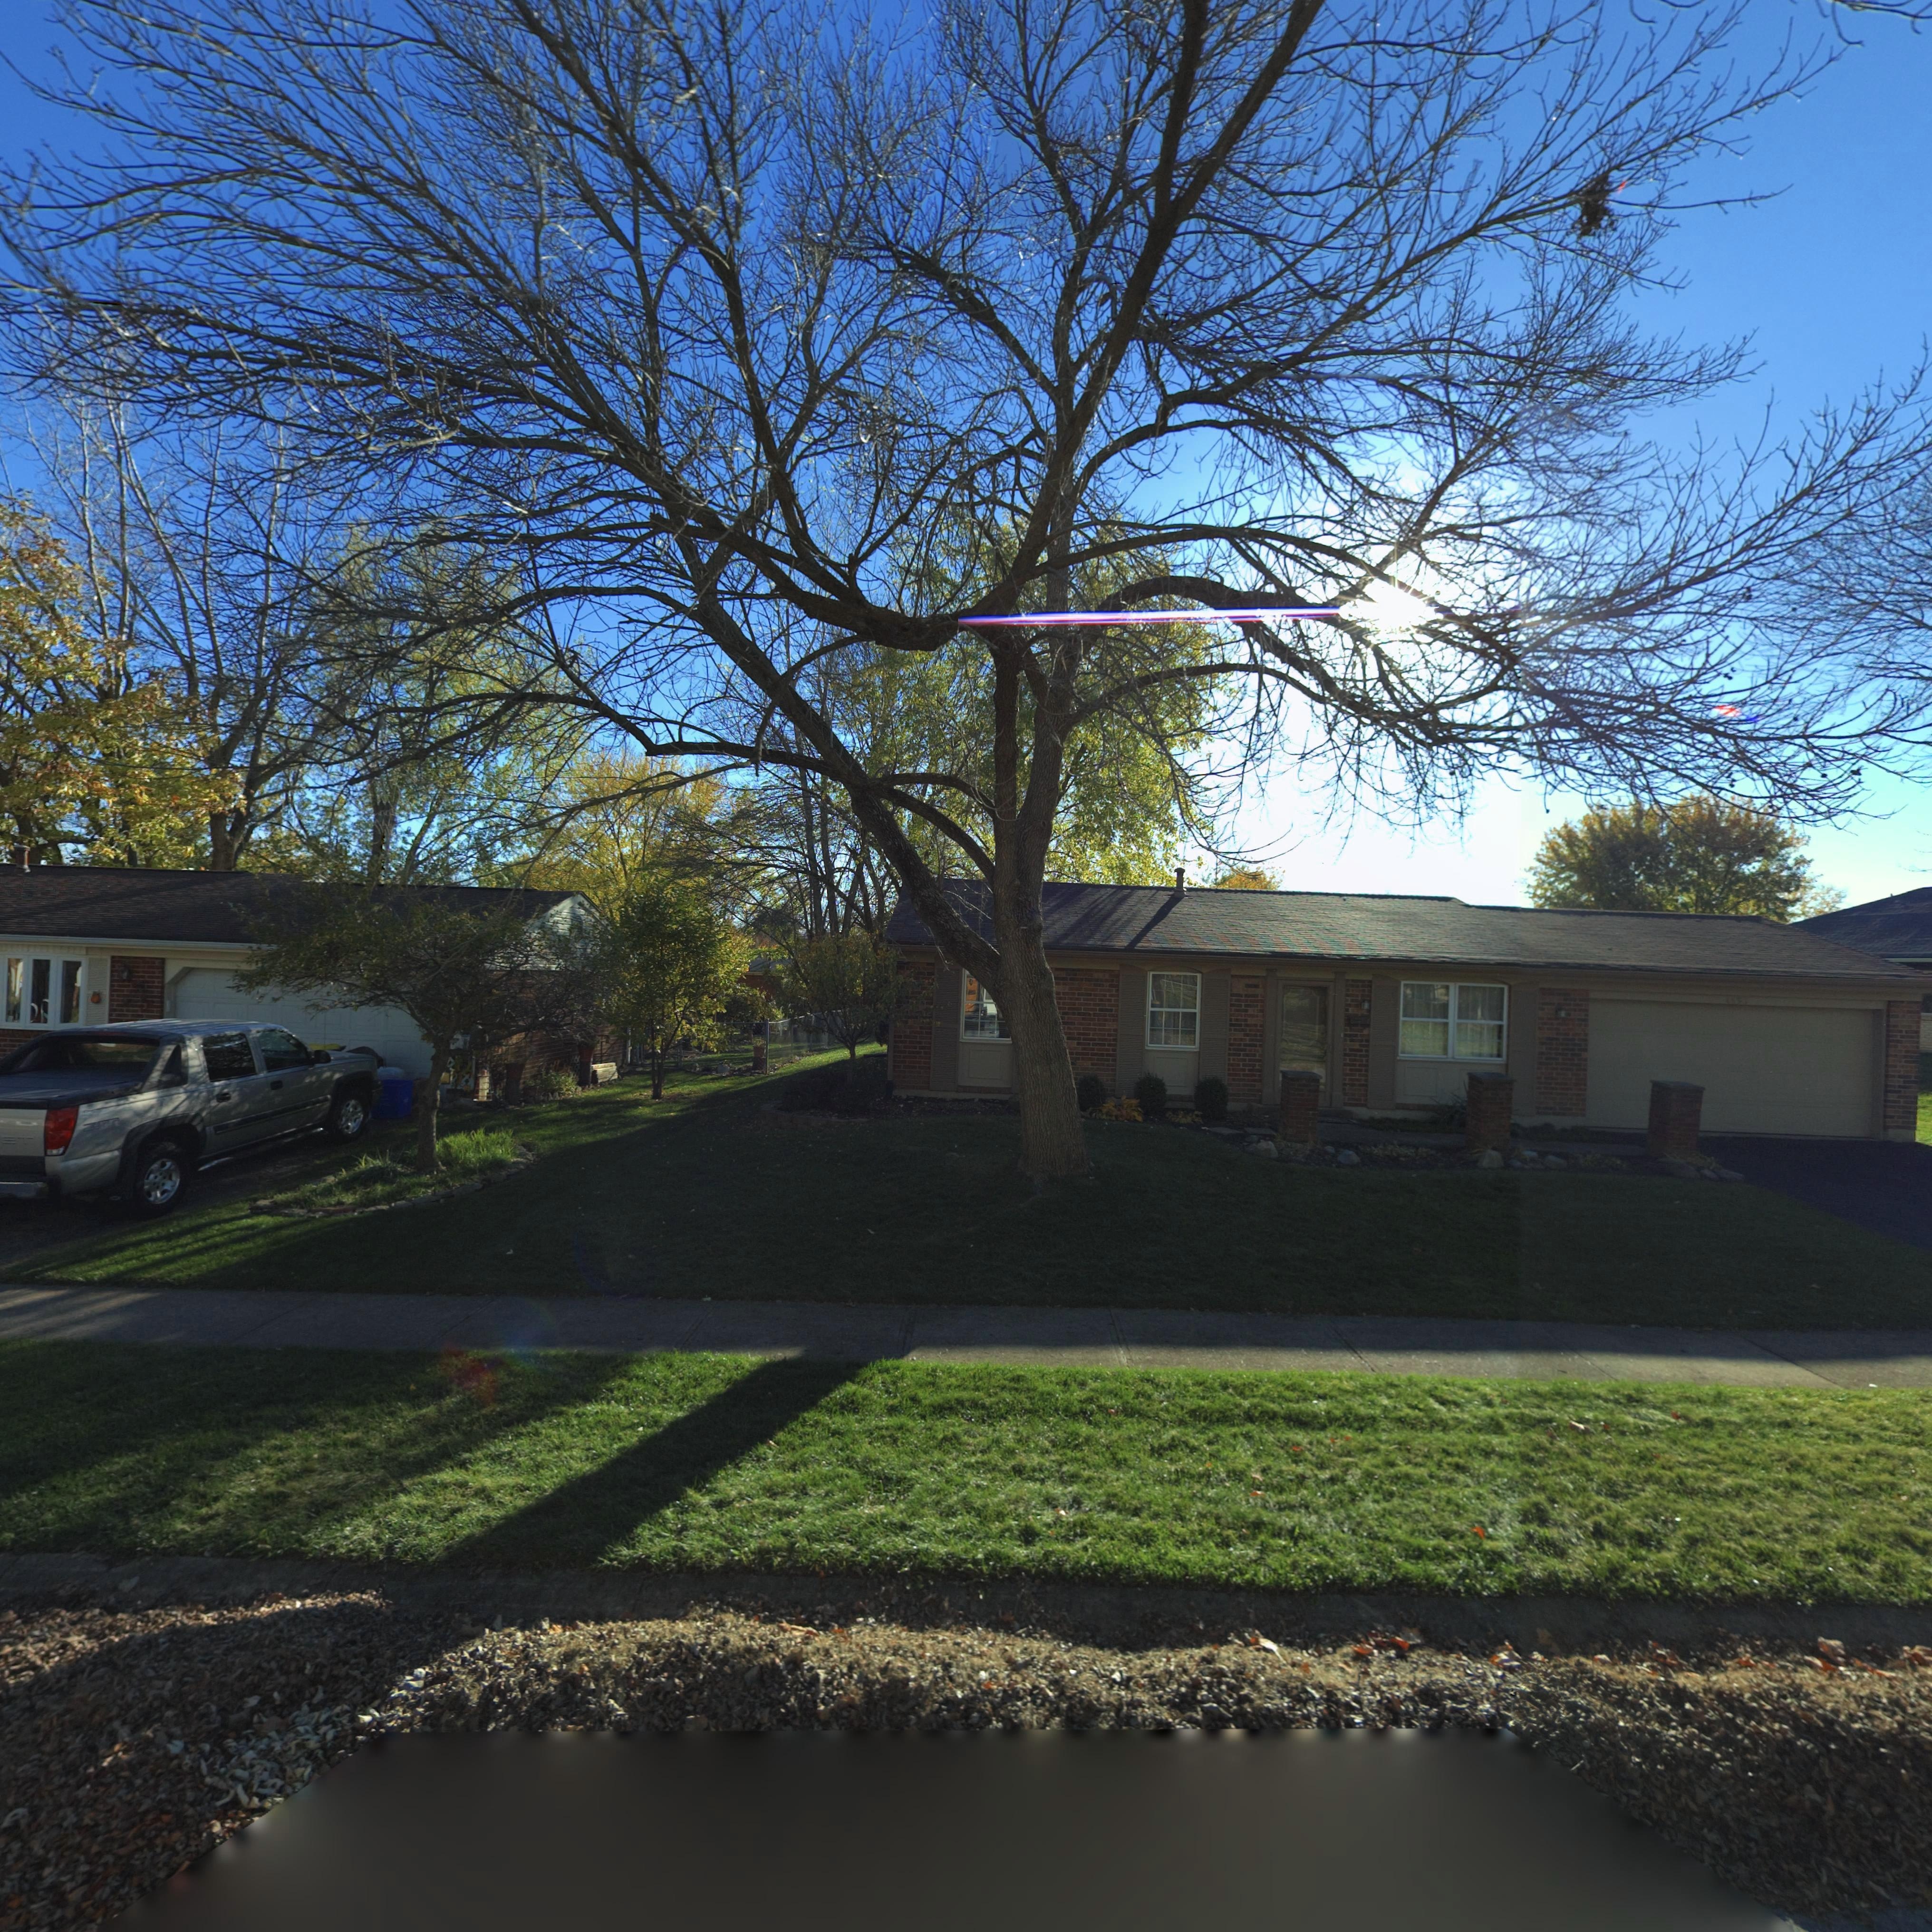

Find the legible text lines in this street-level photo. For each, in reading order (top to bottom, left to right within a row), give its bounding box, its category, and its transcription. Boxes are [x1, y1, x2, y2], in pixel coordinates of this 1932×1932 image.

[1724, 995, 1750, 1005] StreetNumber: 455*